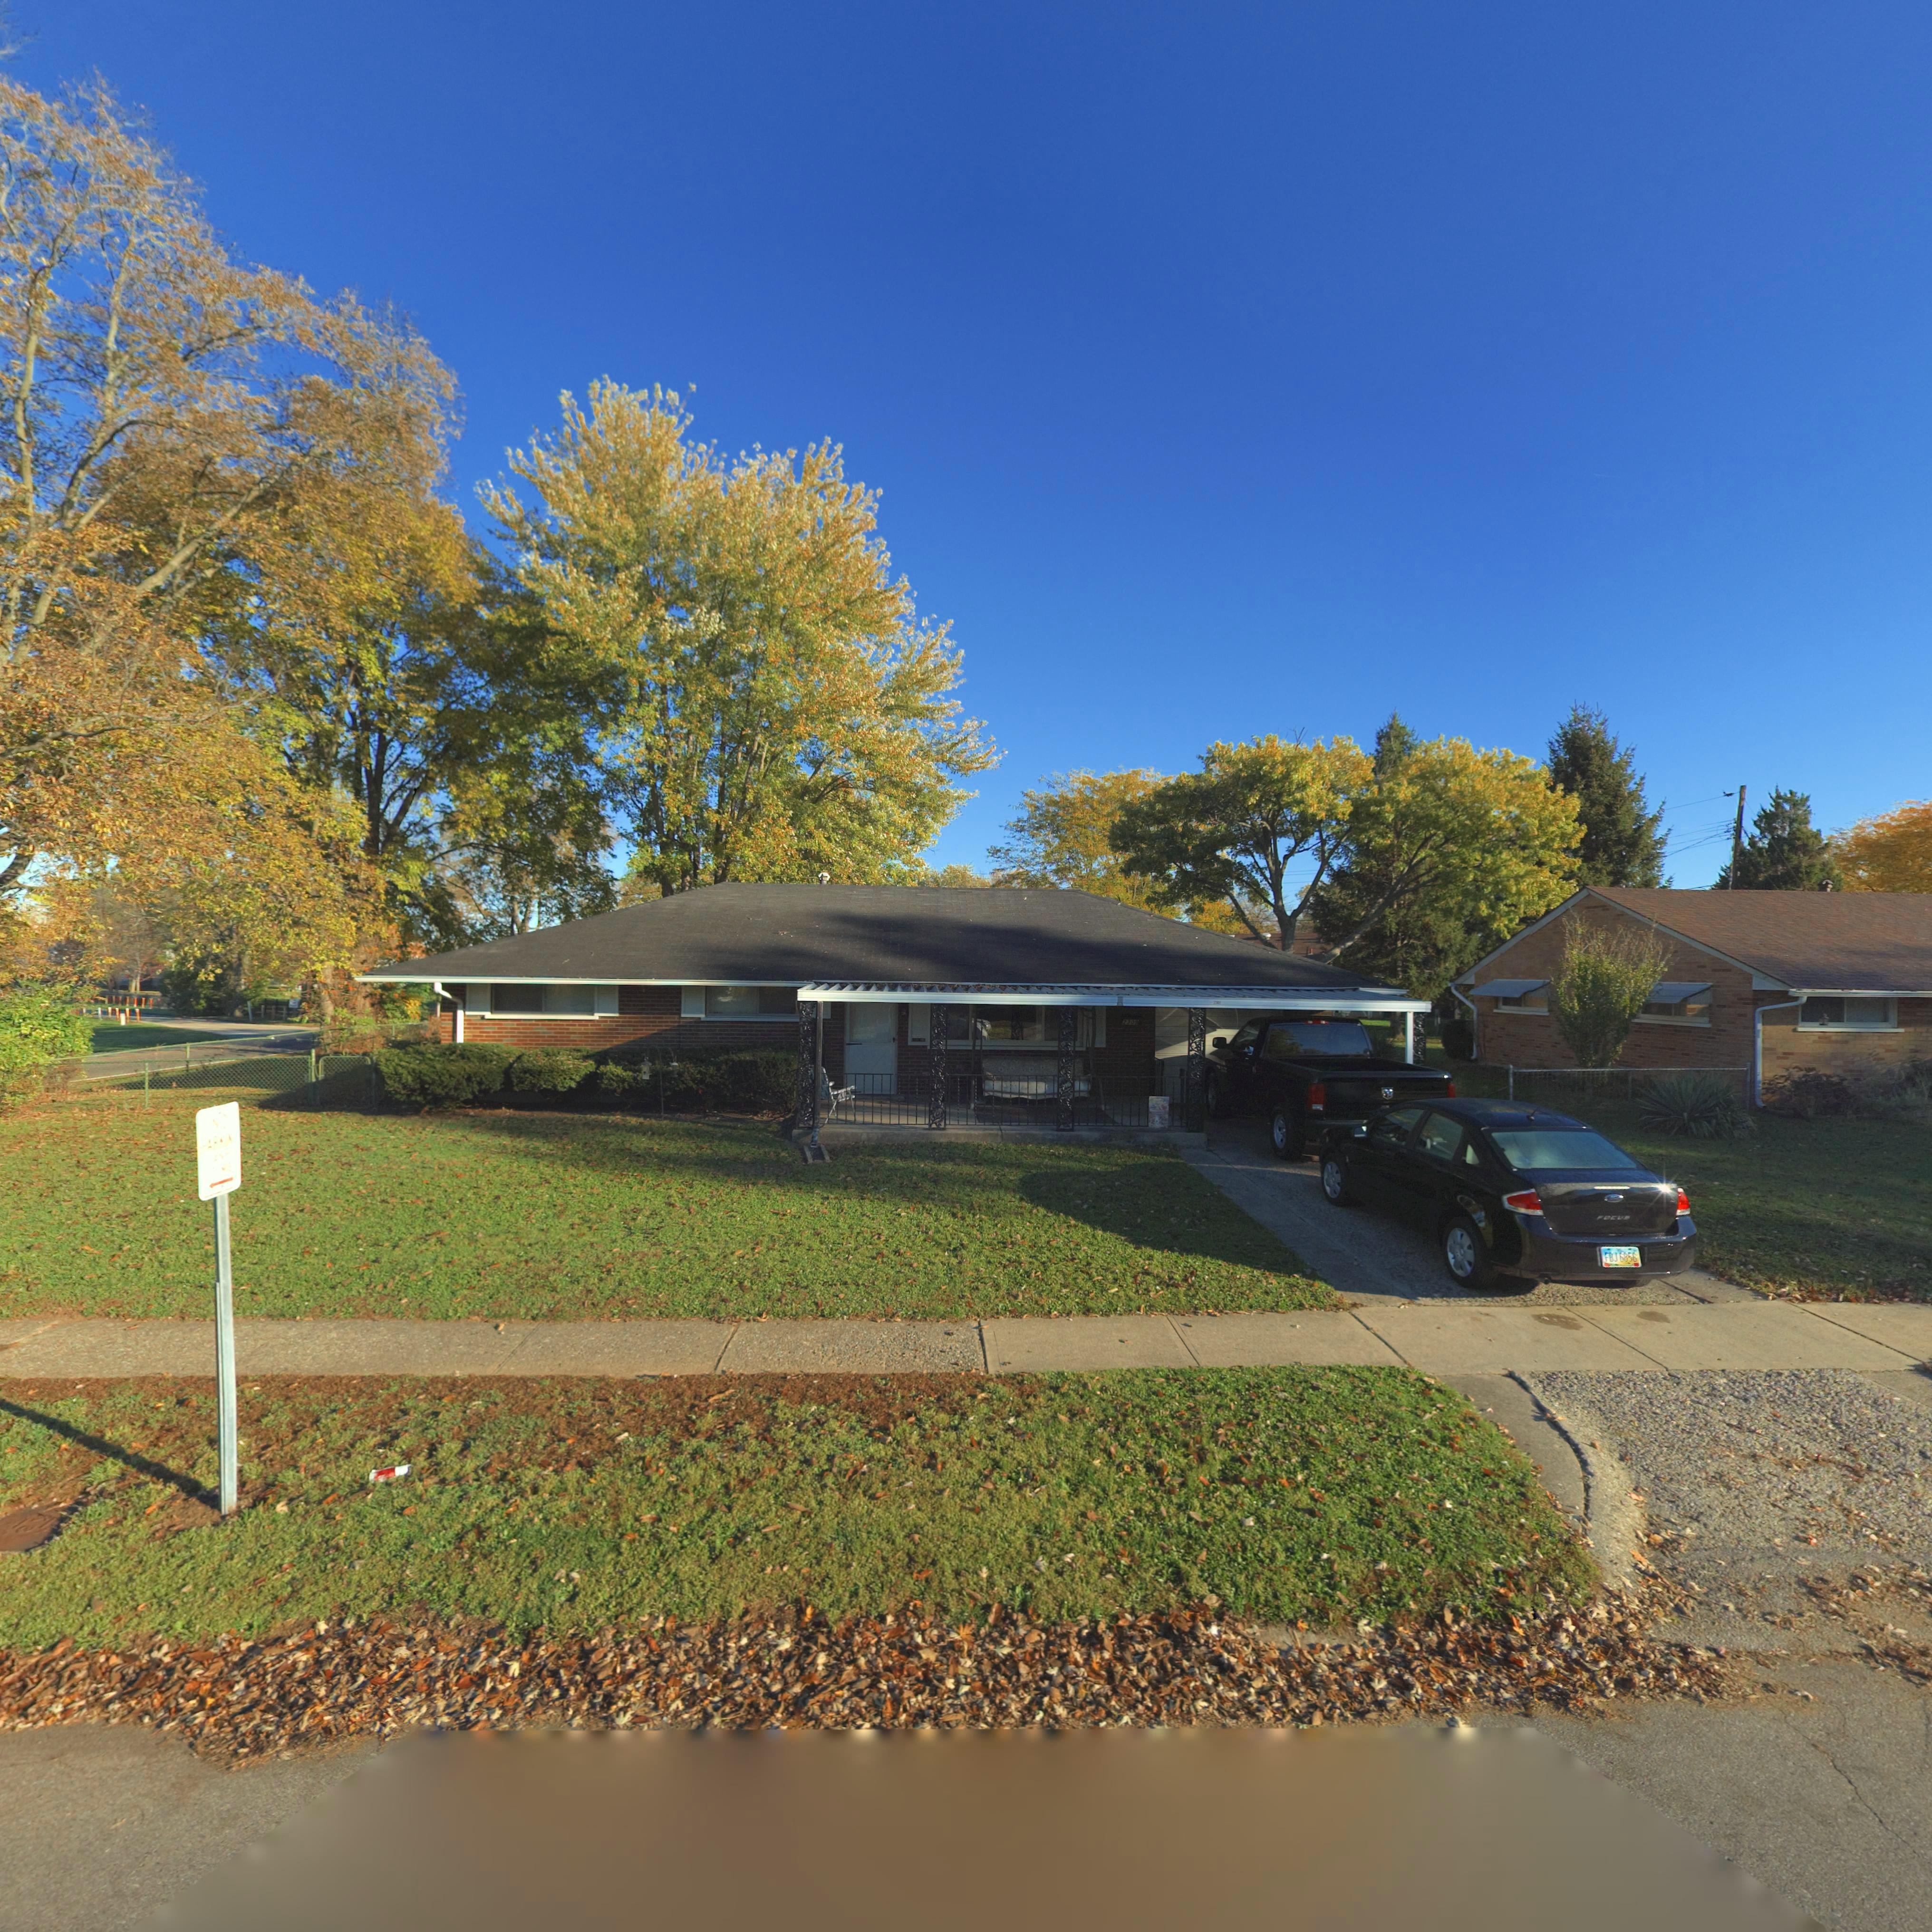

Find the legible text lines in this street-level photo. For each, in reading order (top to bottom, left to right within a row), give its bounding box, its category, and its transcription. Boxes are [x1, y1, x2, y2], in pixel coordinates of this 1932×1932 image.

[1121, 1019, 1139, 1025] StreetNumber: 2309